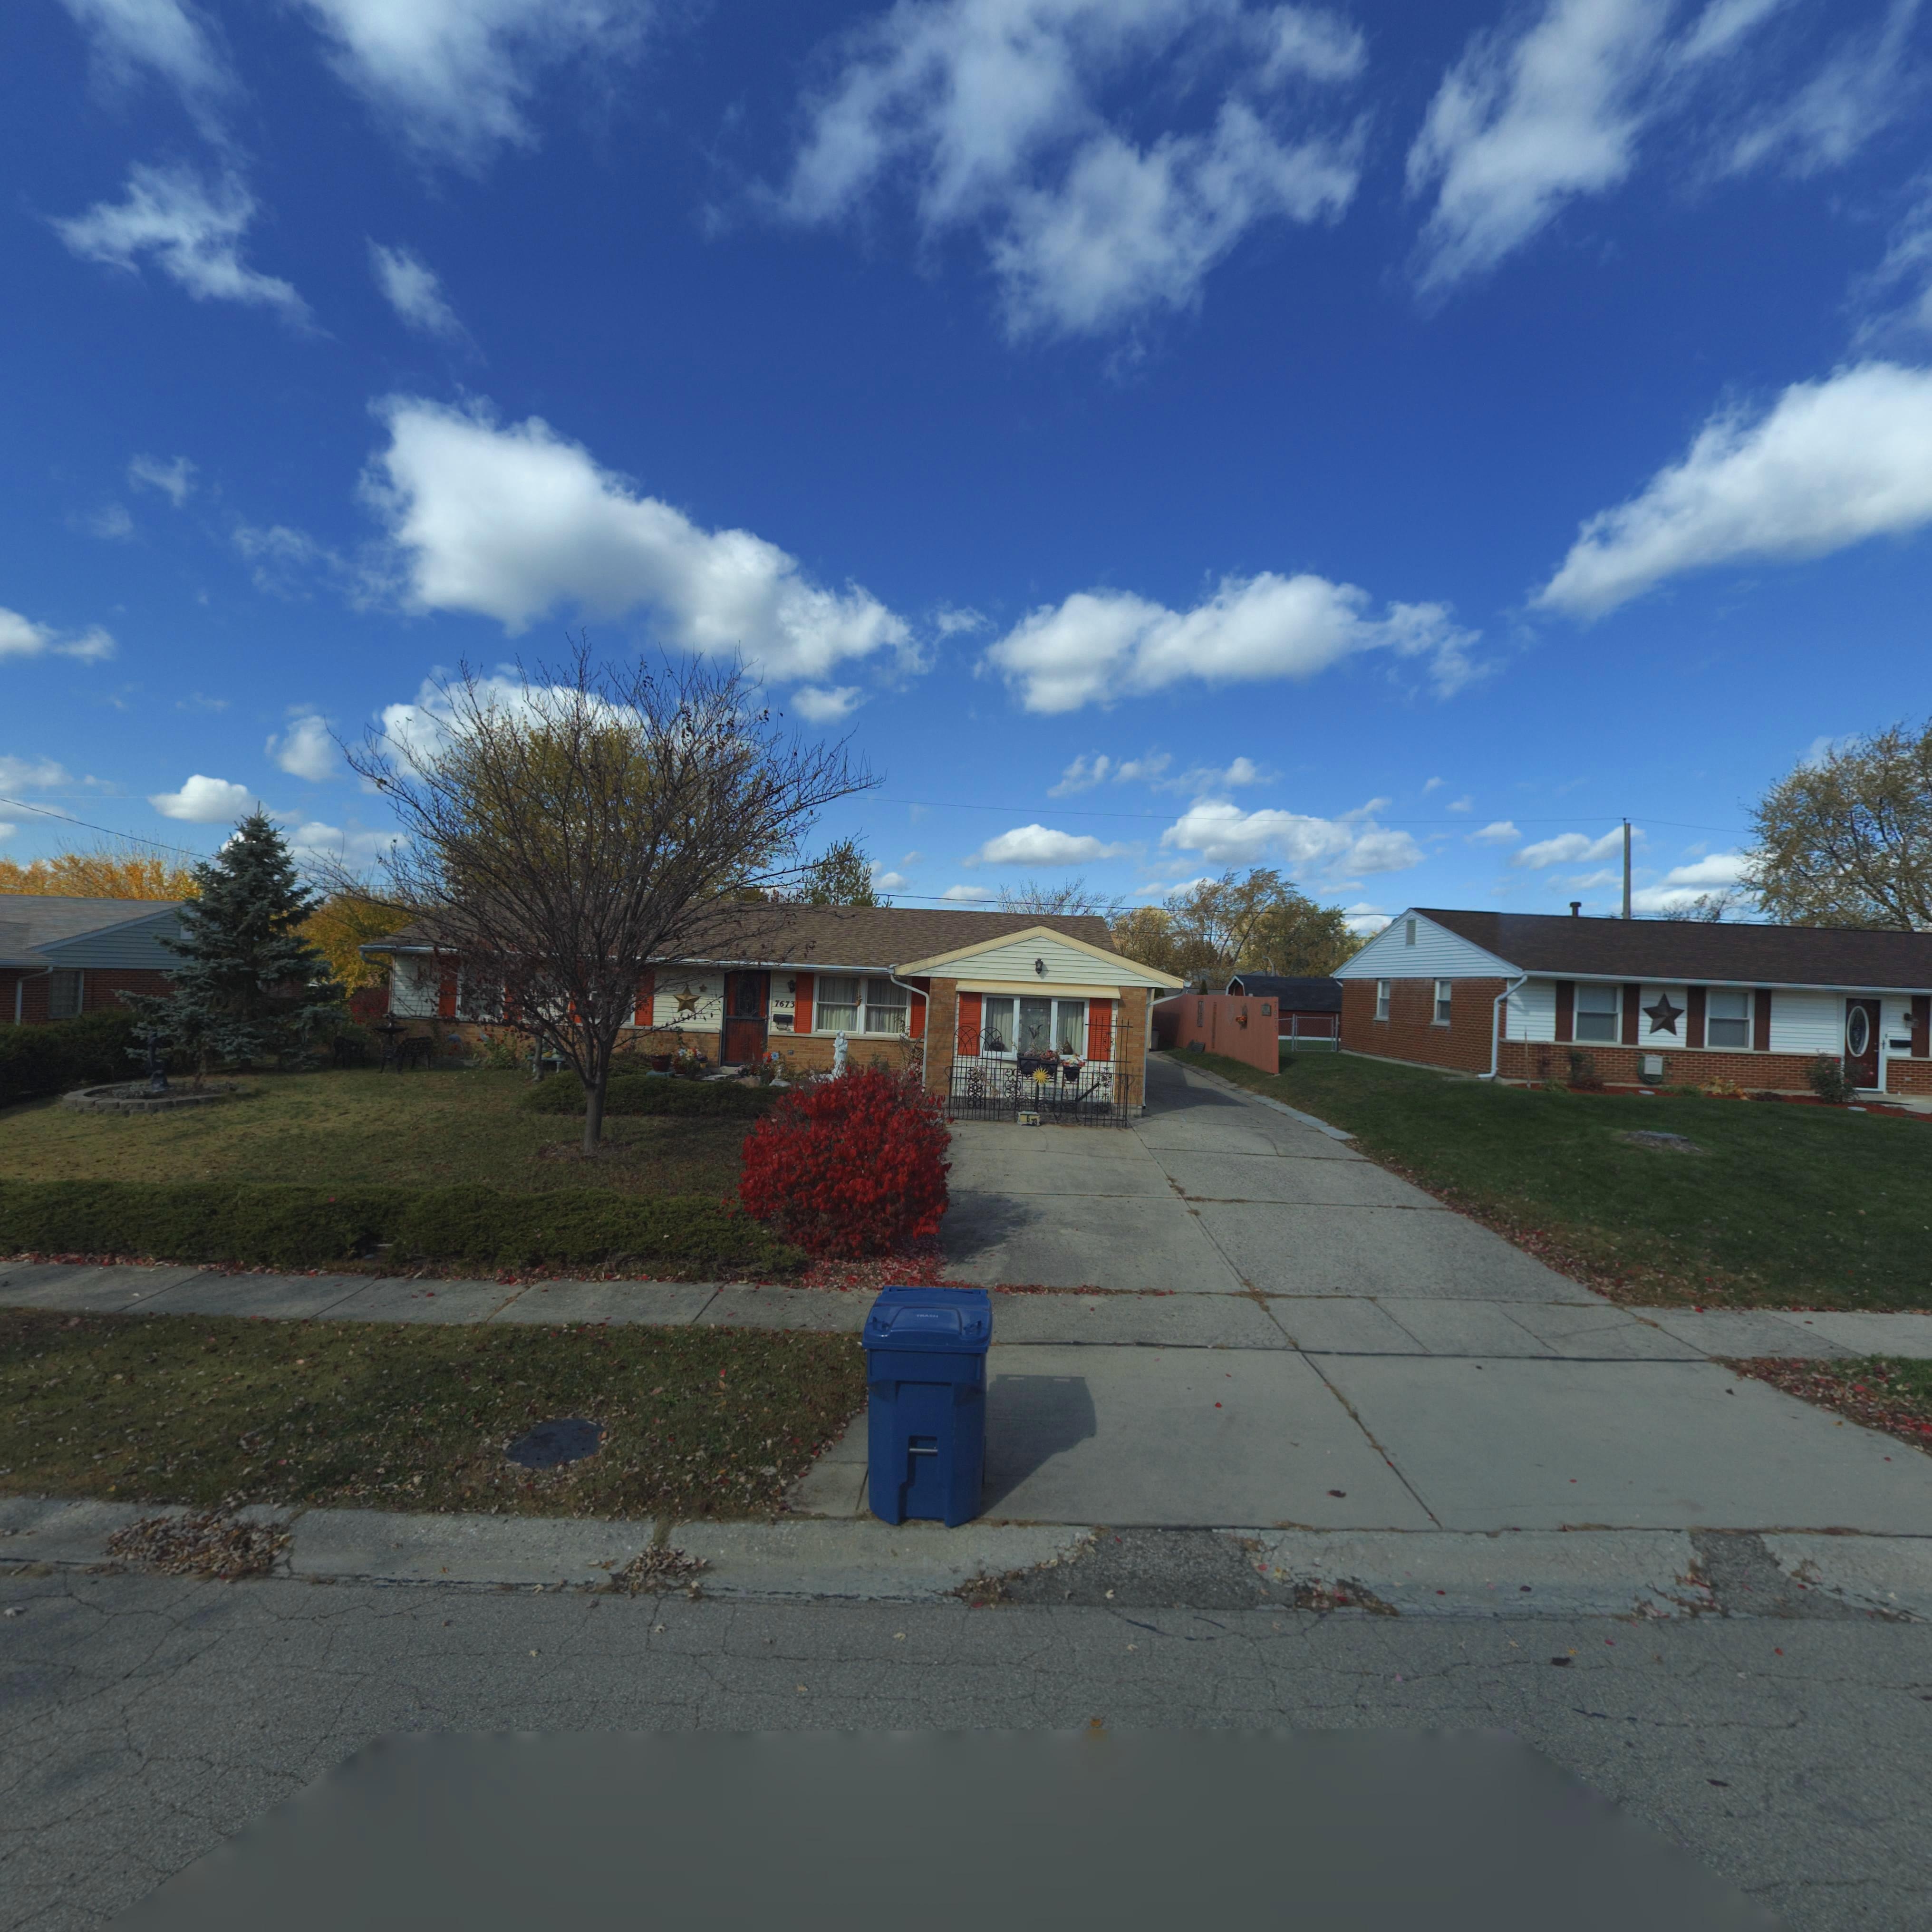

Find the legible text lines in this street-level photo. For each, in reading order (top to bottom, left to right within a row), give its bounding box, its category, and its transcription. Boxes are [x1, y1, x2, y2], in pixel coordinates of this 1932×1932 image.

[774, 999, 796, 1009] StreetNumber: 7673
[1026, 1114, 1037, 1126] StreetNumber: 673